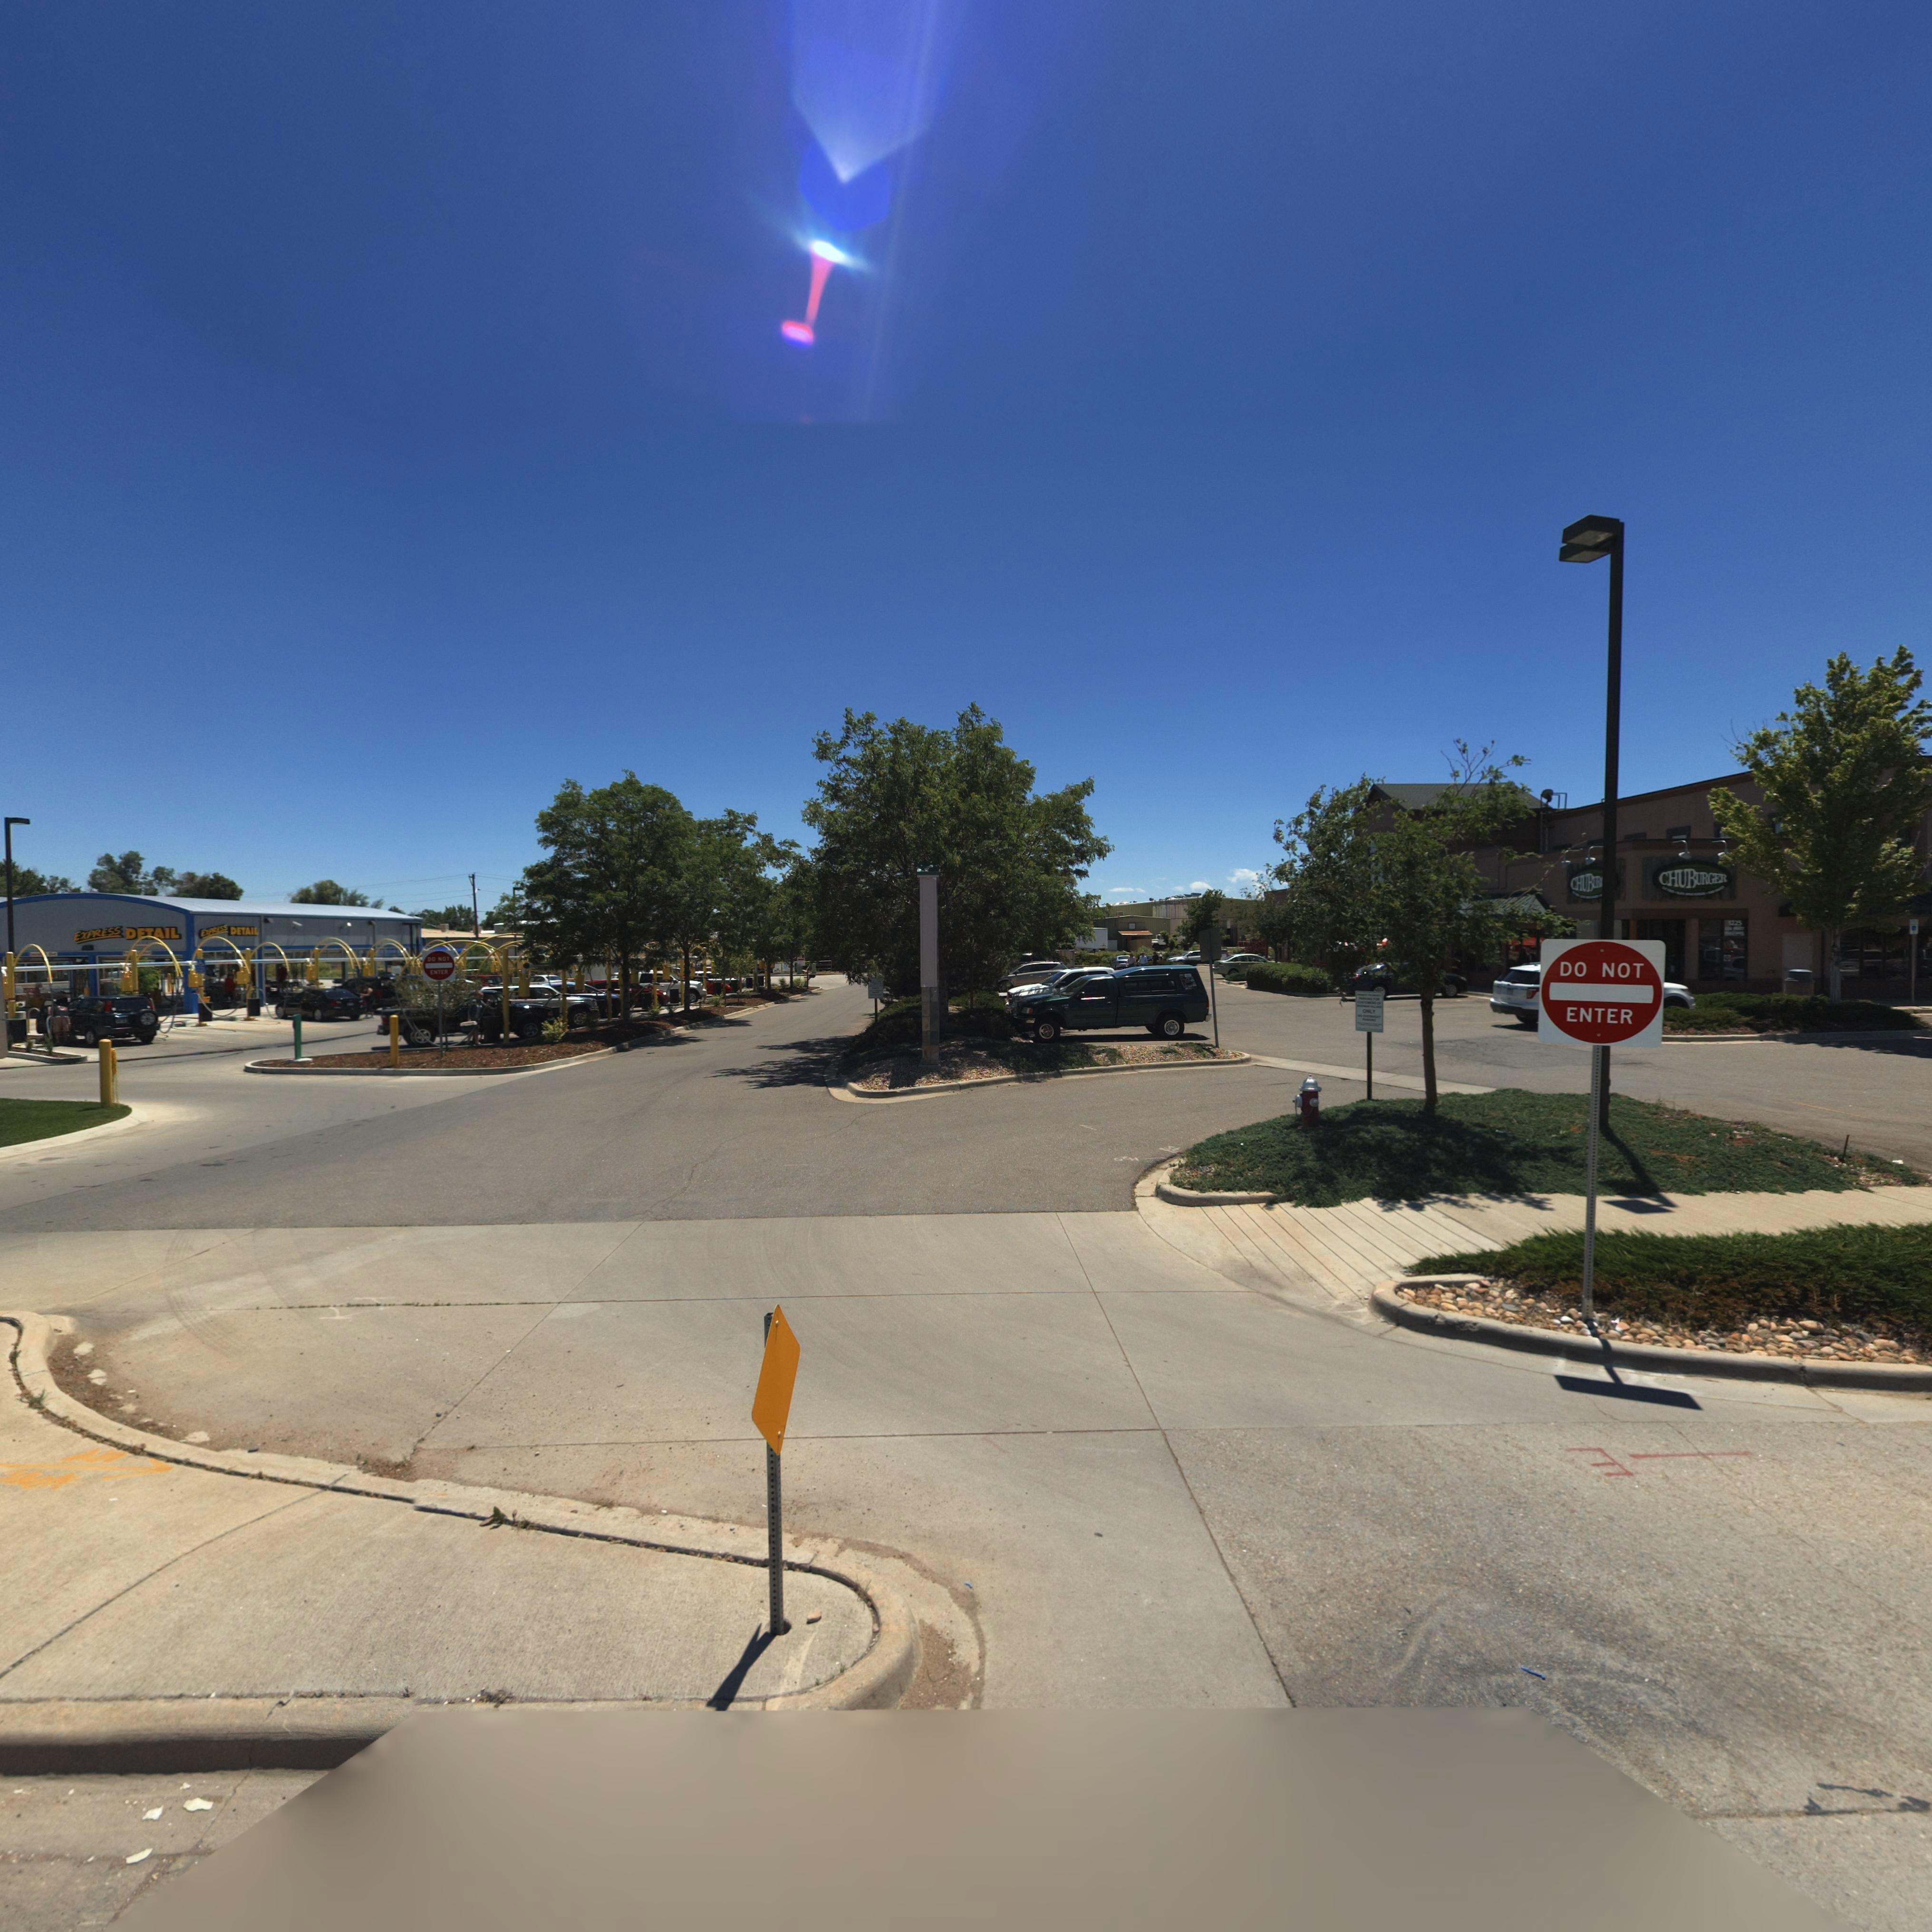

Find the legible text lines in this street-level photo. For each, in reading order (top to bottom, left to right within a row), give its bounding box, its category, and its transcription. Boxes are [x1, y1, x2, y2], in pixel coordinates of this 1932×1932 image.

[1570, 872, 1603, 892] BusinessName: CHUBUR
[1658, 868, 1728, 889] BusinessName: CHUBBURGER
[1728, 919, 1742, 925] StreetNumber: 1225
[72, 925, 122, 942] BusinessName: EXPRESS
[125, 927, 180, 939] BusinessName: DETAIL
[200, 924, 228, 937] BusinessName: EXPRESS
[230, 926, 259, 935] BusinessName: DETAIL